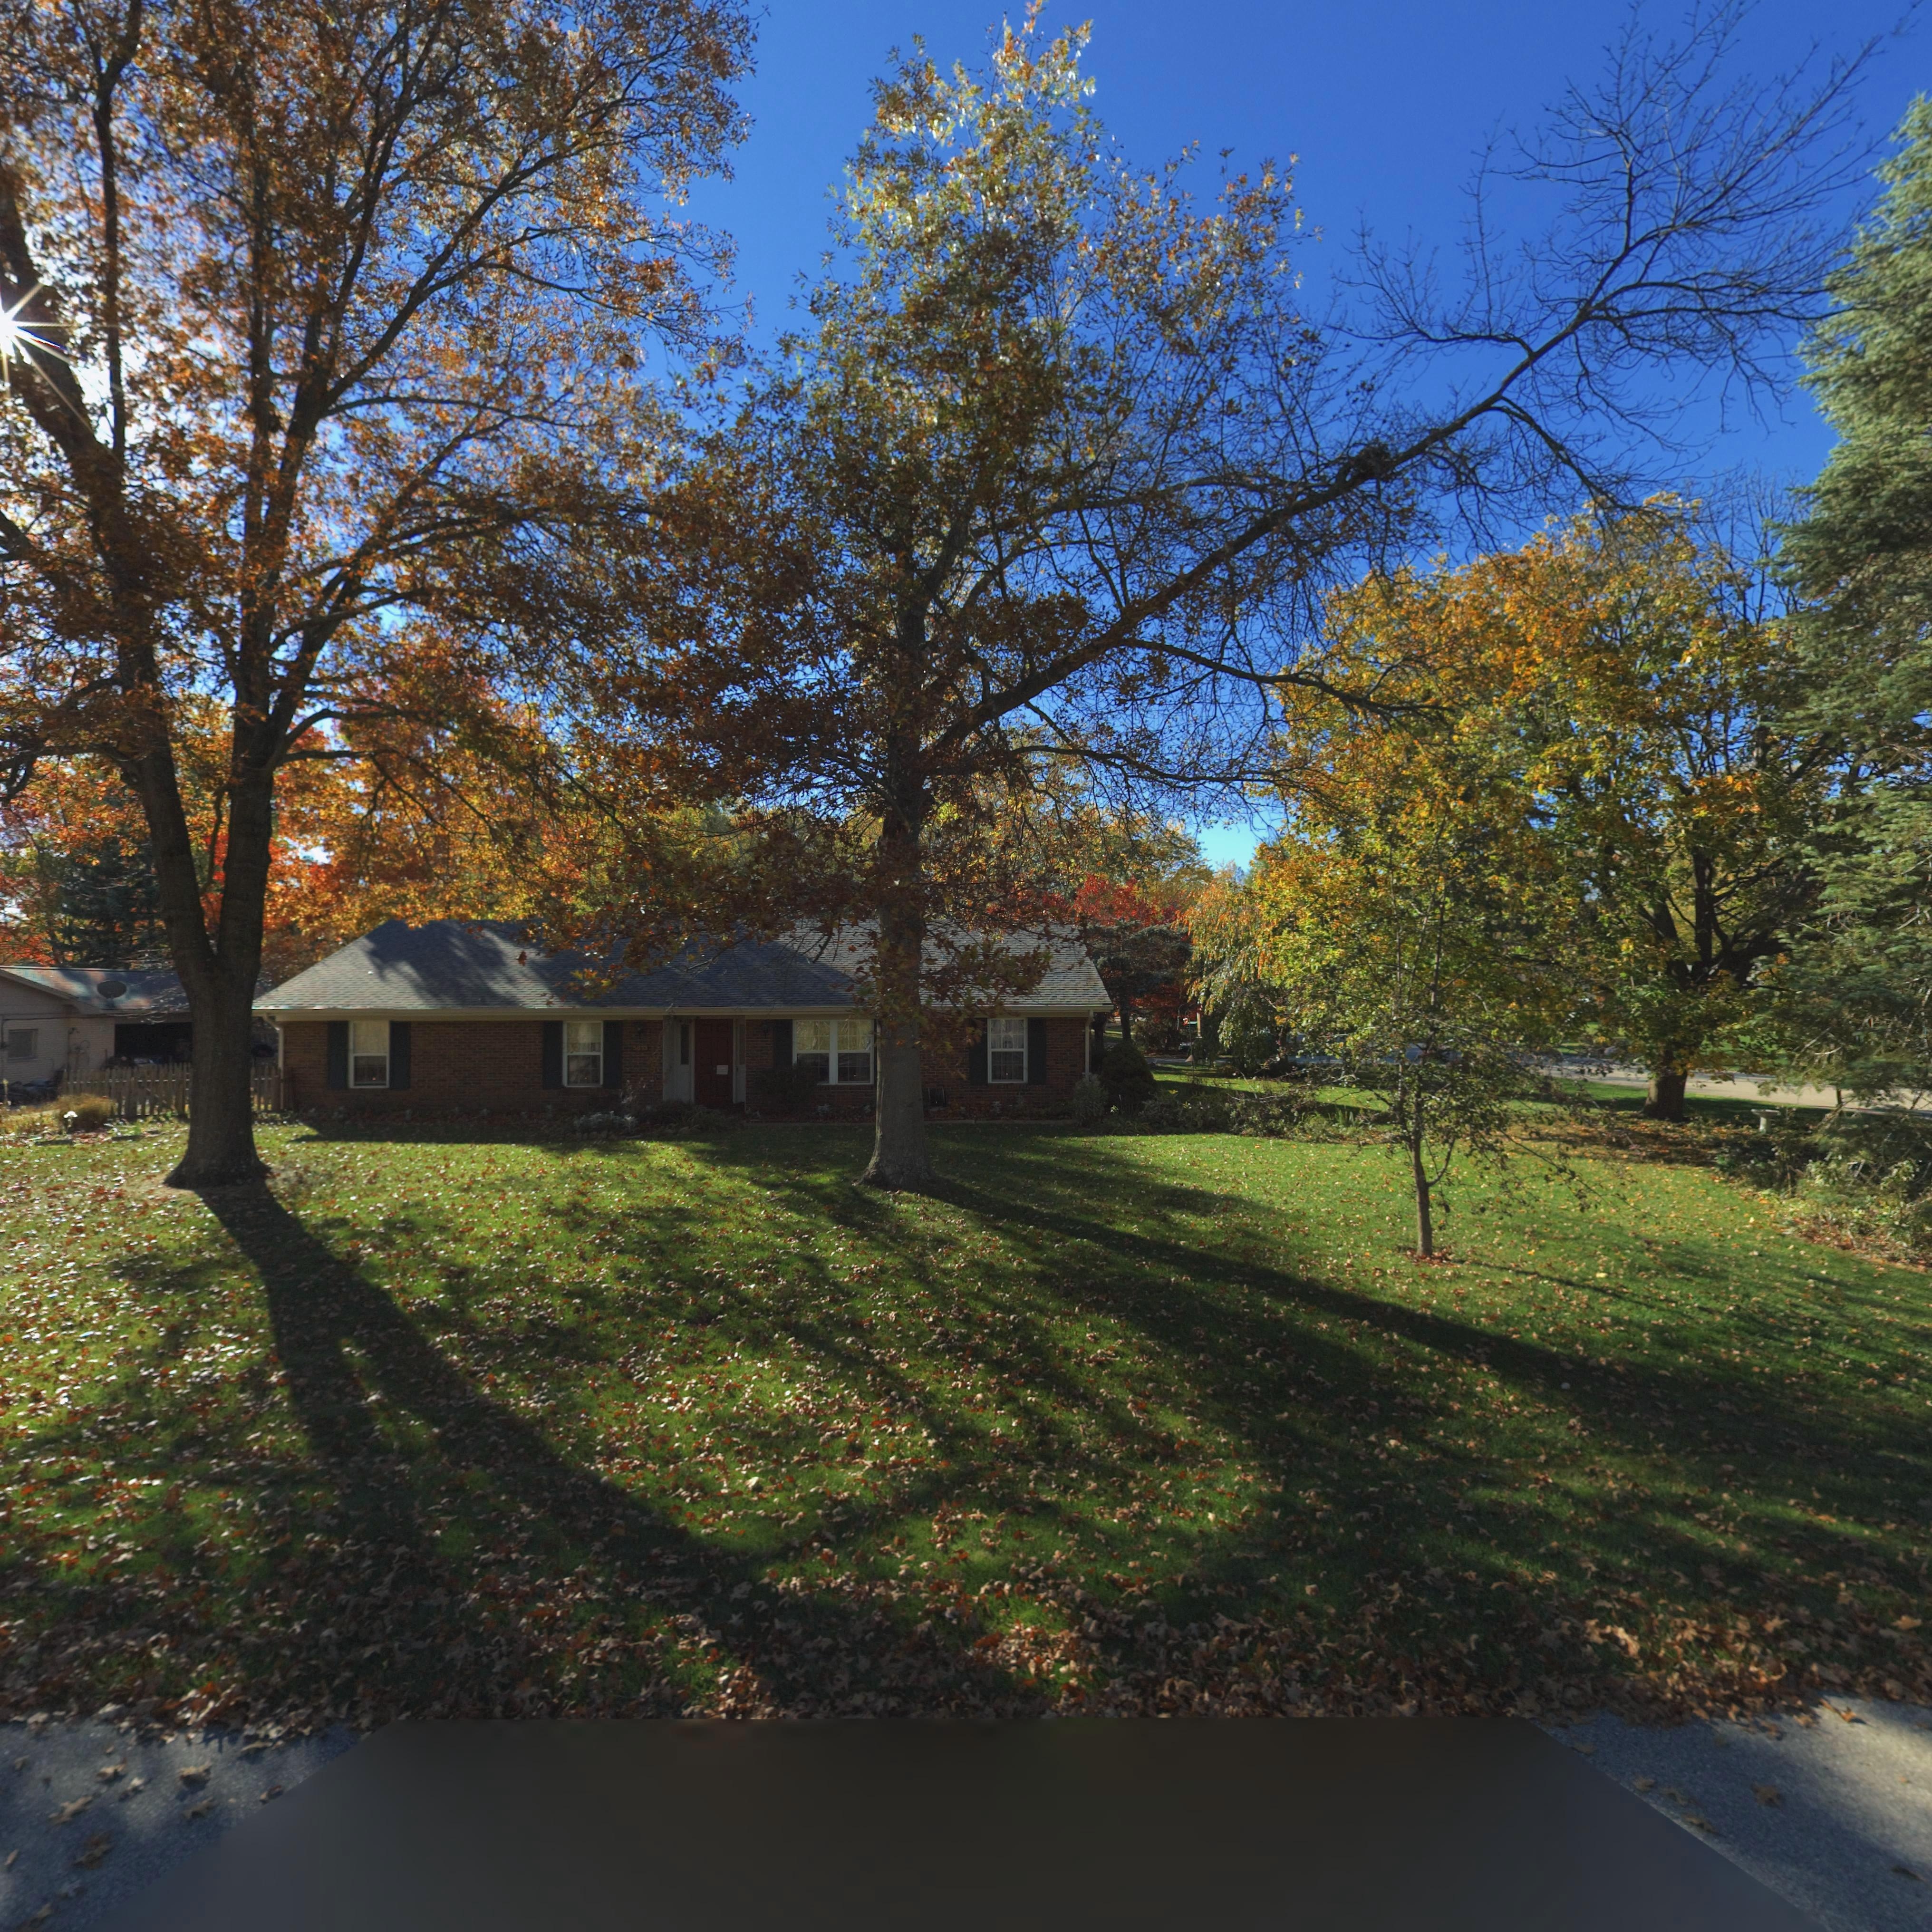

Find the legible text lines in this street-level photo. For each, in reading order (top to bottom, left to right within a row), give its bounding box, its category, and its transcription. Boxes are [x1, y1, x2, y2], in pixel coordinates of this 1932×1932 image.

[632, 1045, 648, 1051] StreetNumber: 5613